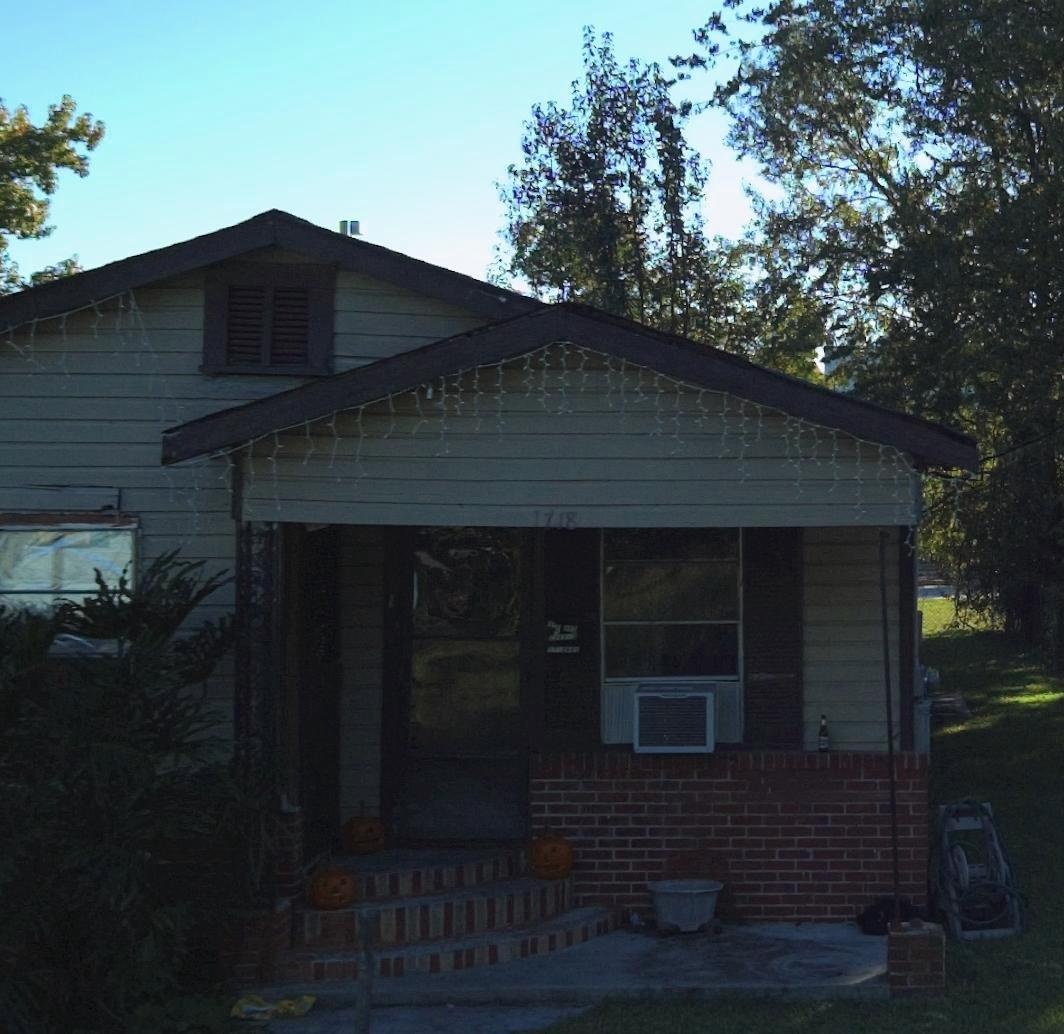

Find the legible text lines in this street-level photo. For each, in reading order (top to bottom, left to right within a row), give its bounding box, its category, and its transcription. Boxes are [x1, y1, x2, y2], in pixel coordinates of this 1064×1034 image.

[530, 508, 580, 533] StreetNumber: 1718